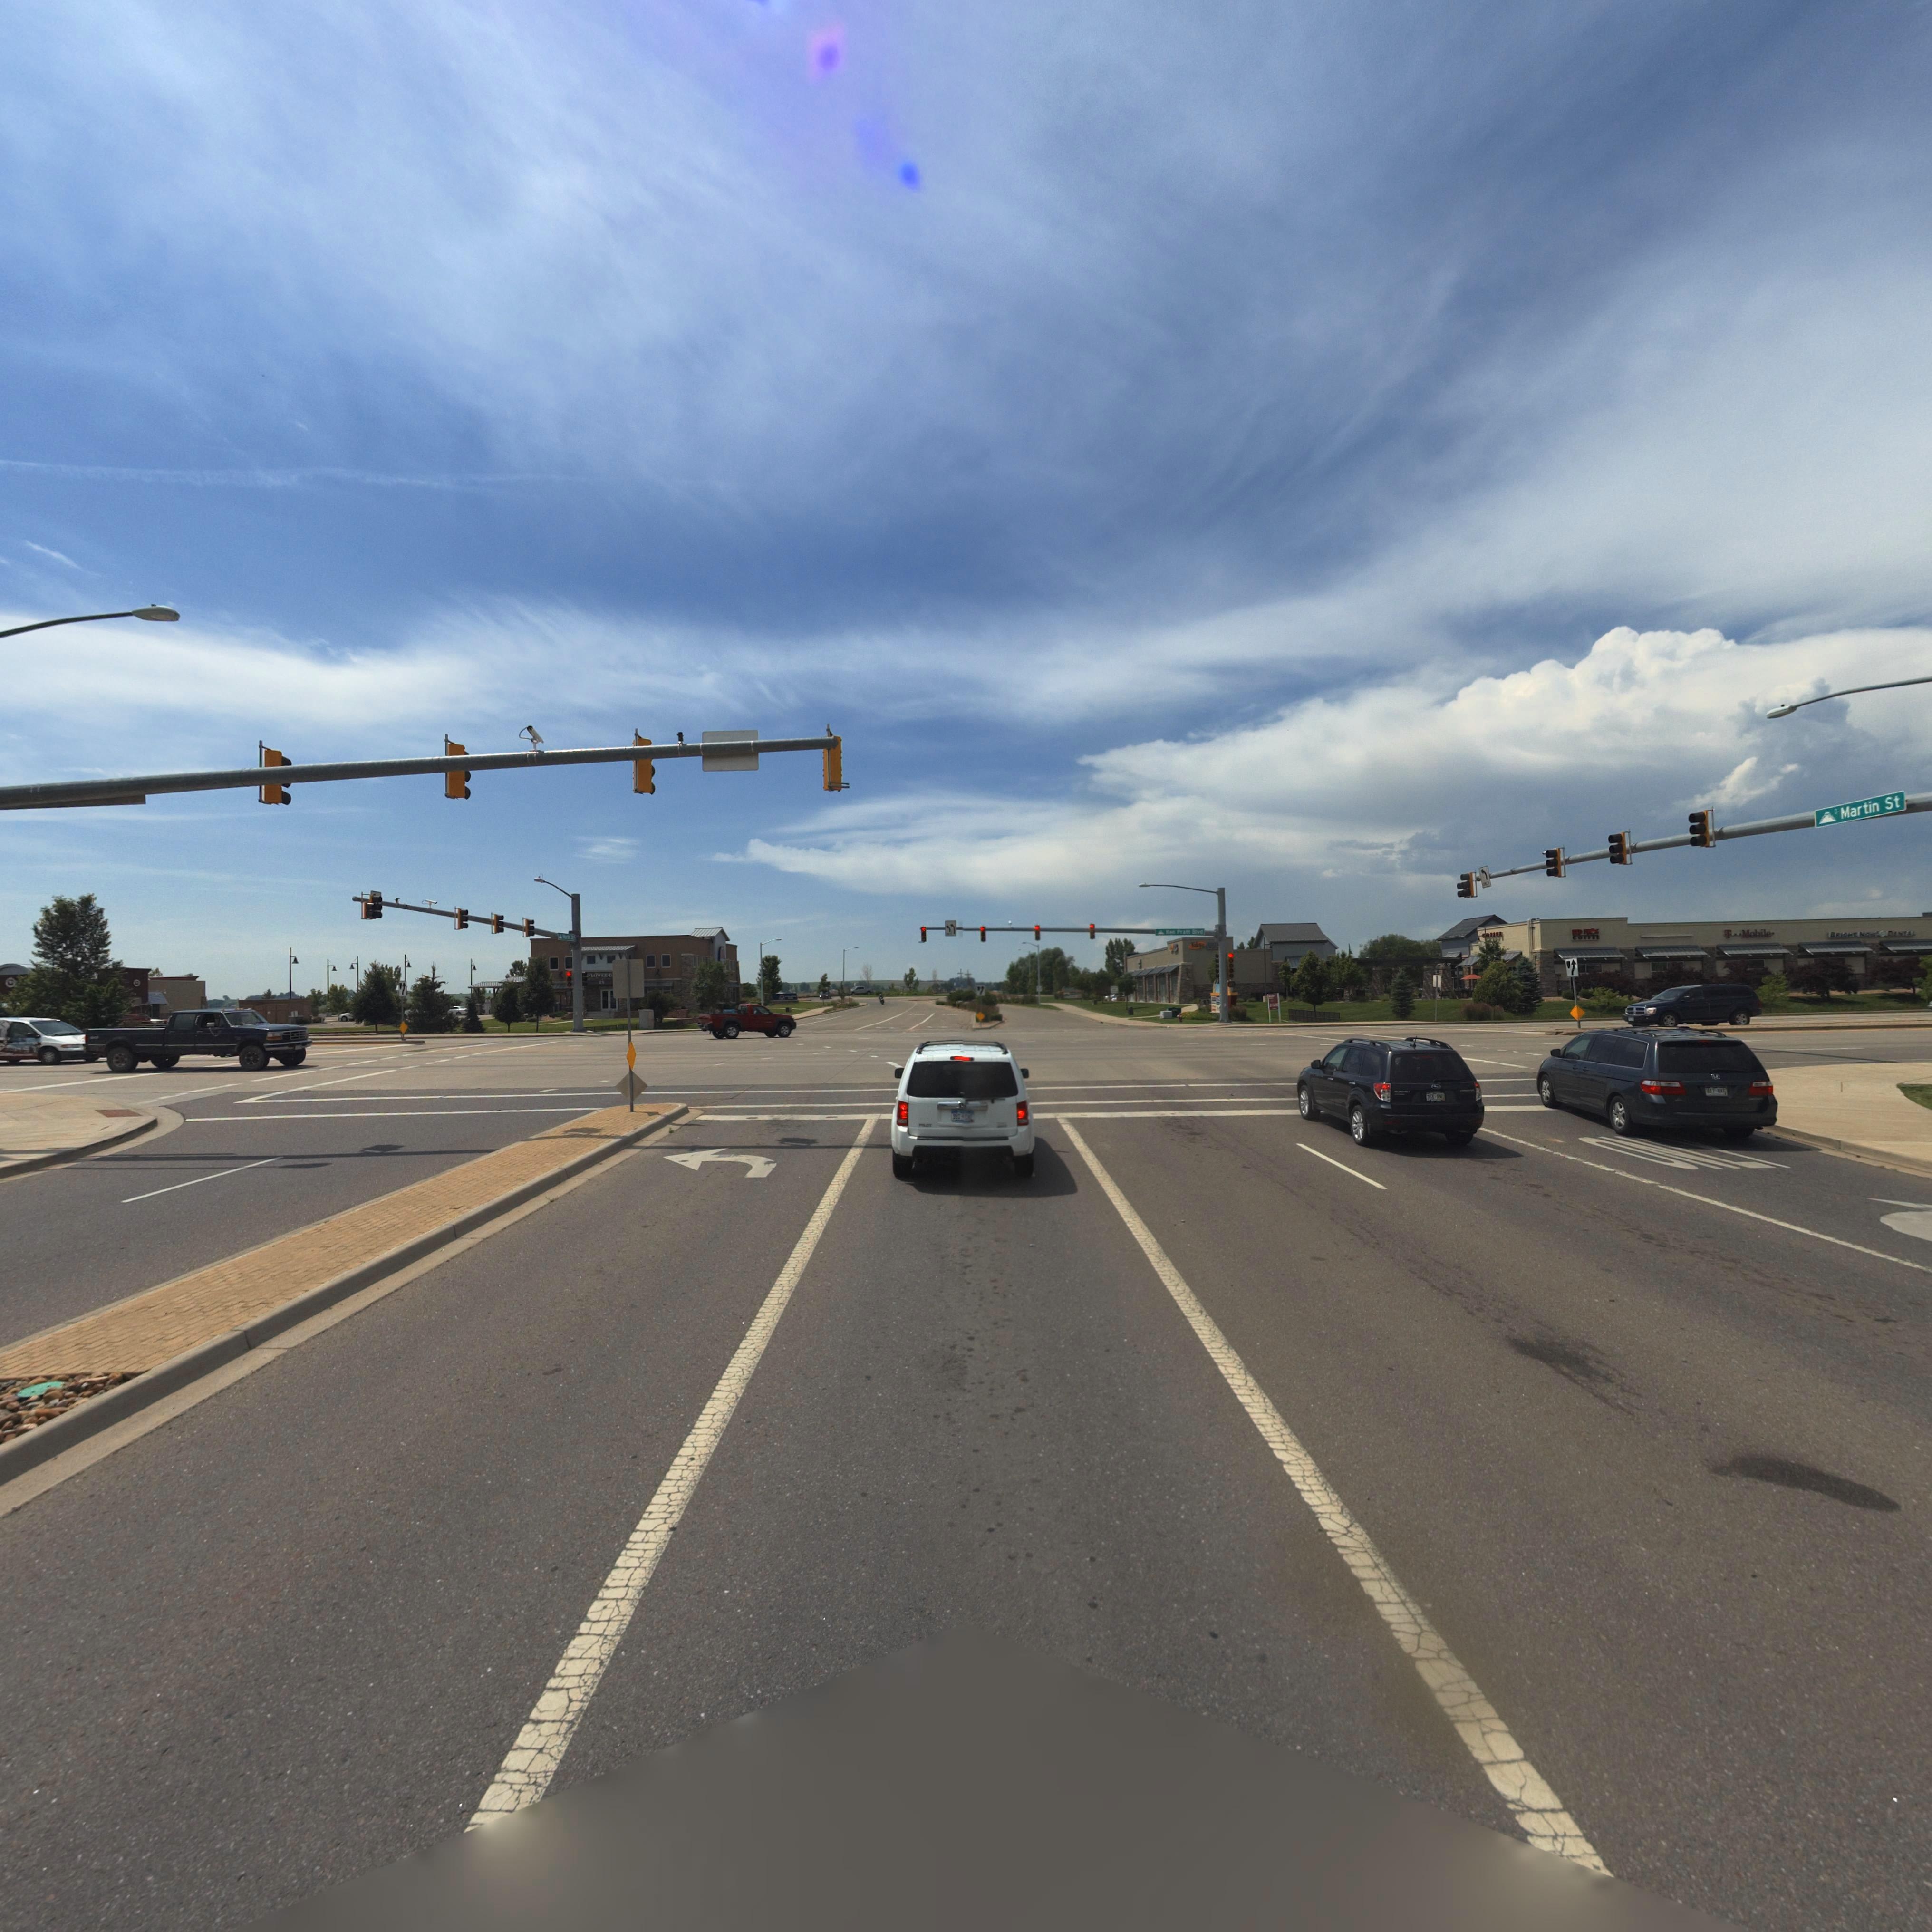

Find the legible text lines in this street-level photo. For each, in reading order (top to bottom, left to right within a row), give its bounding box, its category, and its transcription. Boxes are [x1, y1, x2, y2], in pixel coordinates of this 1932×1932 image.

[1833, 795, 1901, 820] StreetName: * Martin St
[562, 933, 574, 940] StreetName: ***t*n S*
[1165, 928, 1203, 935] StreetName: Ken Pratt Blvd
[1481, 931, 1502, 938] BusinessName: *OFFE*
[1572, 927, 1599, 936] BusinessName: **D F*OG
[1572, 935, 1600, 940] BusinessName: COFFEE
[1723, 928, 1772, 939] BusinessName: T Mobile
[1830, 930, 1916, 937] BusinessName: BRIGHT N*G*T D*NTAL
[1189, 940, 1205, 949] BusinessName: Tokyo
[588, 973, 612, 977] BusinessName: FLOWER B